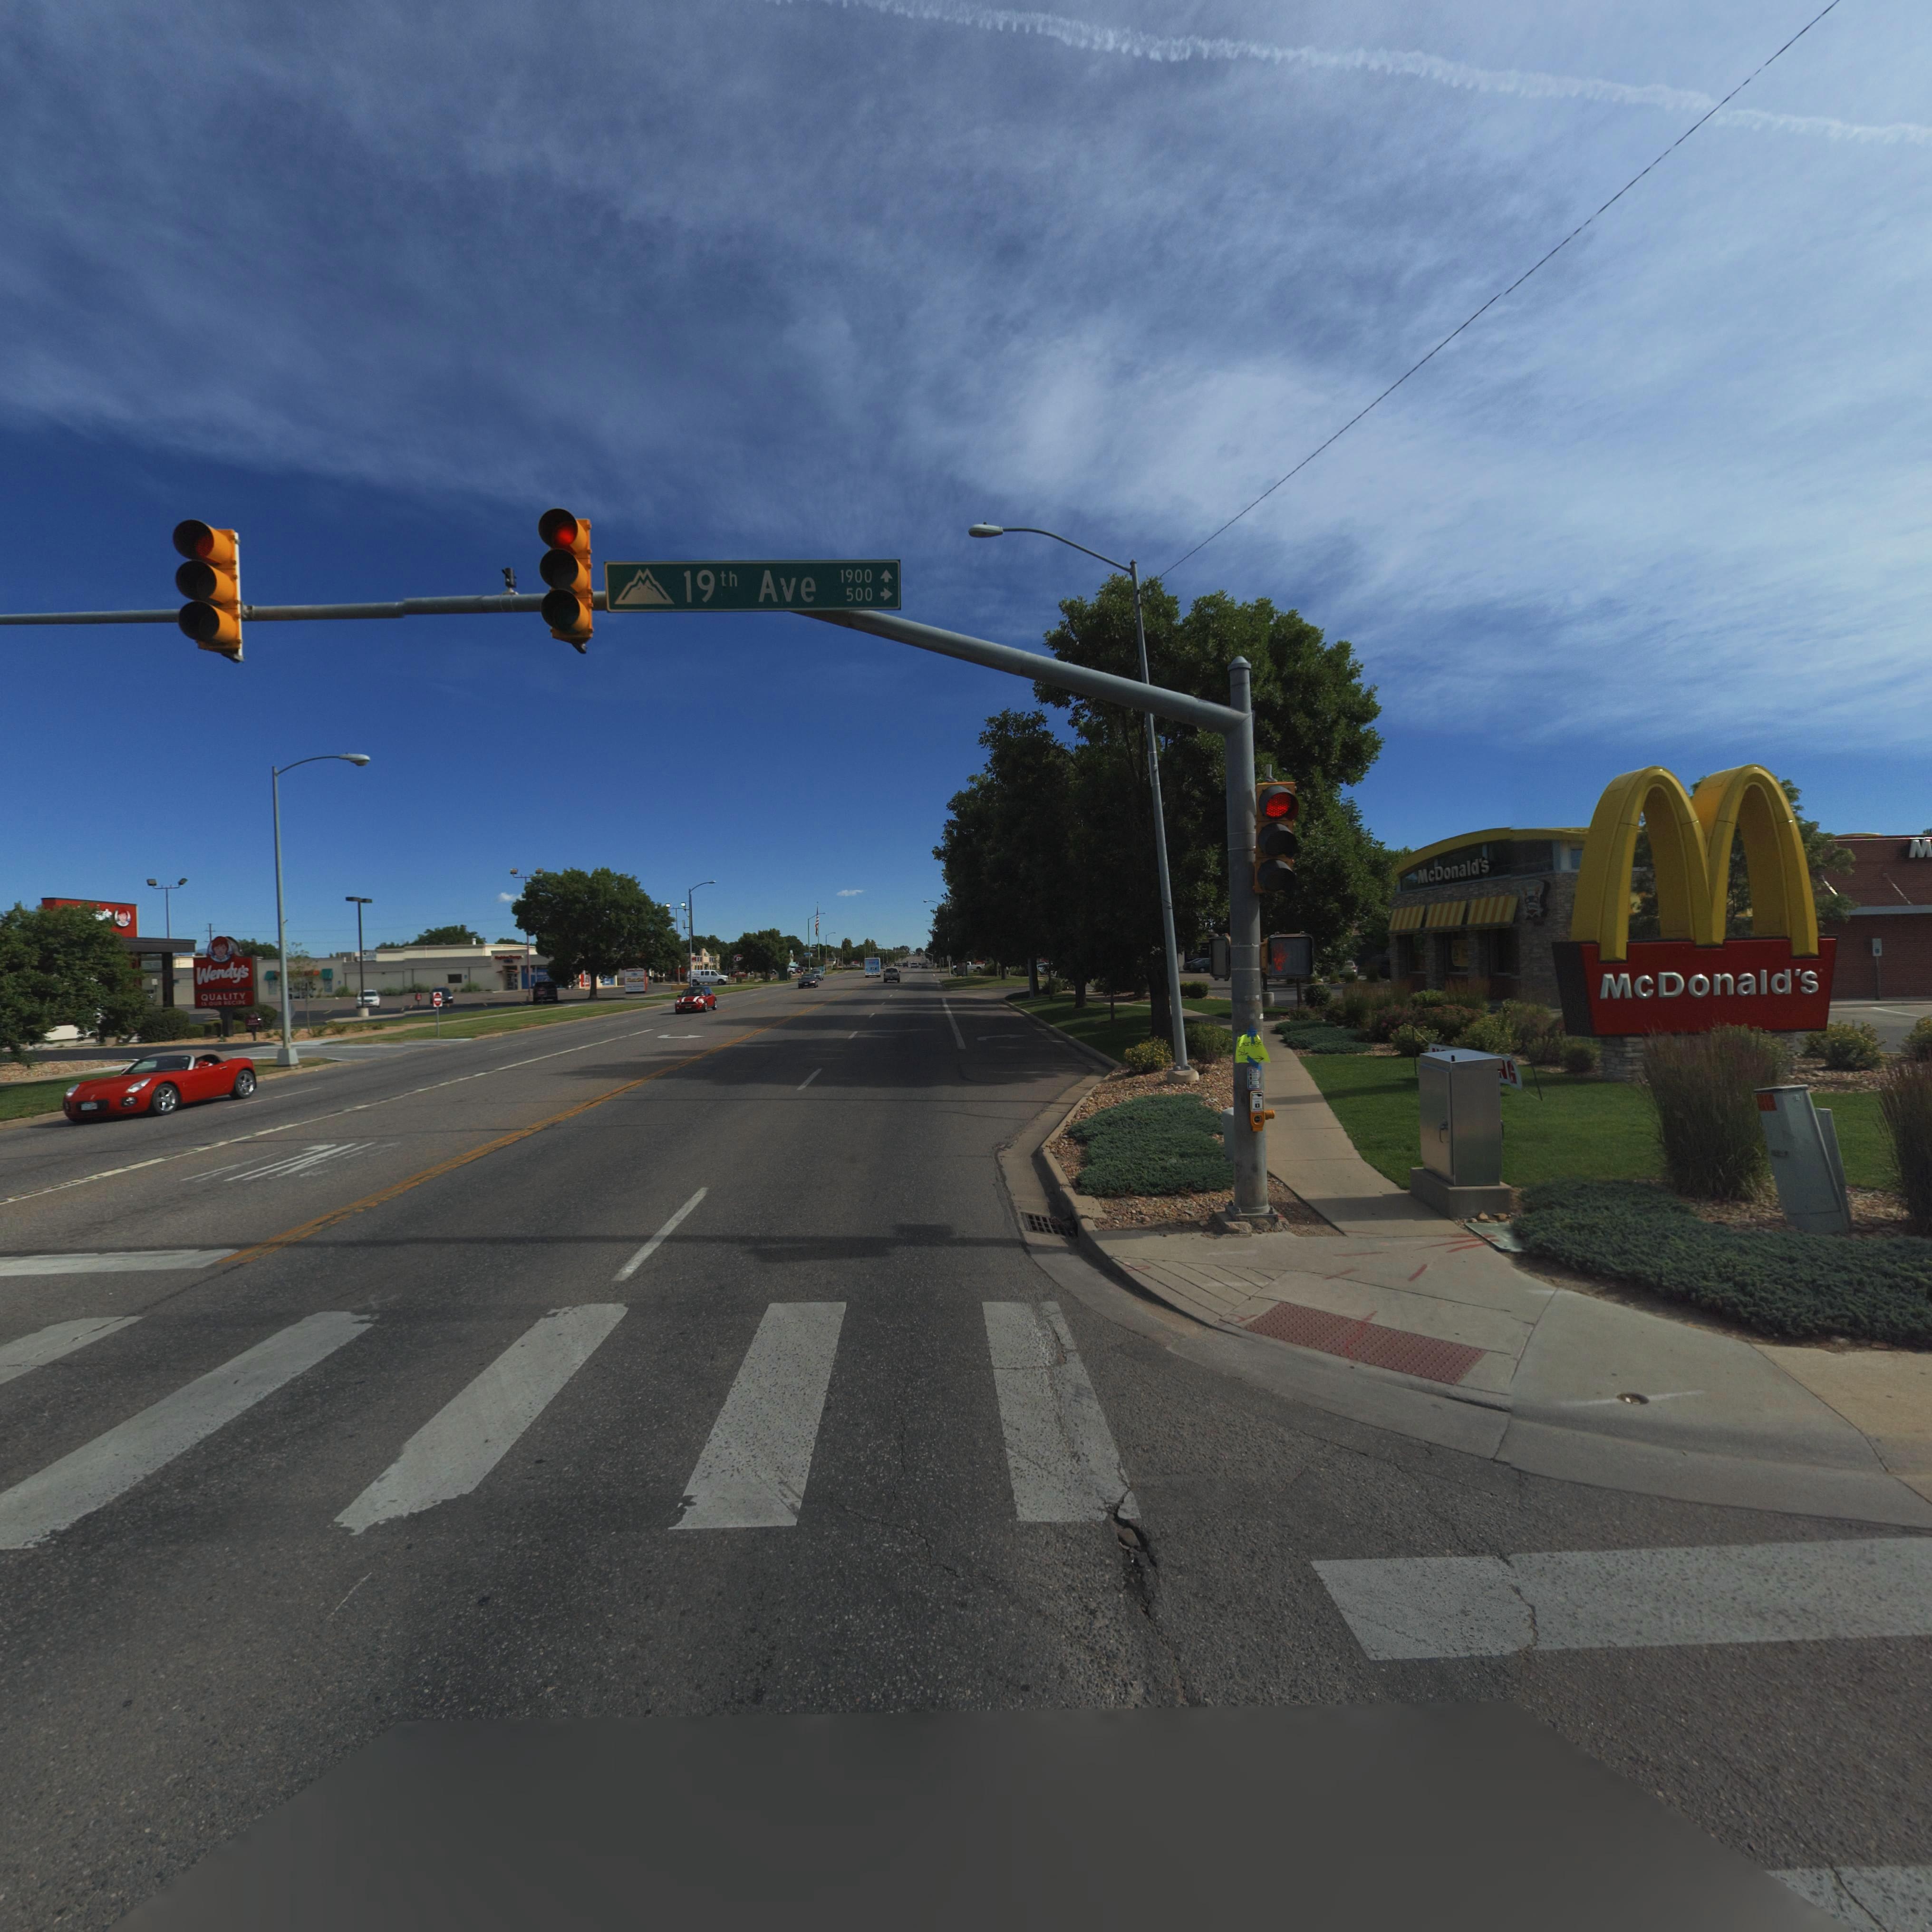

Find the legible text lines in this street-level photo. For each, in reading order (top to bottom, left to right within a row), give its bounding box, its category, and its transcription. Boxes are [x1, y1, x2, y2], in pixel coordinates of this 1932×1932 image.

[681, 568, 819, 604] StreetName: 19th Ave
[840, 568, 874, 584] StreetNumberRange: 1900
[845, 586, 894, 602] StreetNumberRange: 500 ->
[1417, 857, 1490, 884] BusinessName: McDonald's
[195, 961, 250, 985] BusinessName: Wendy's
[1596, 966, 1823, 1001] BusinessName: McDonald's